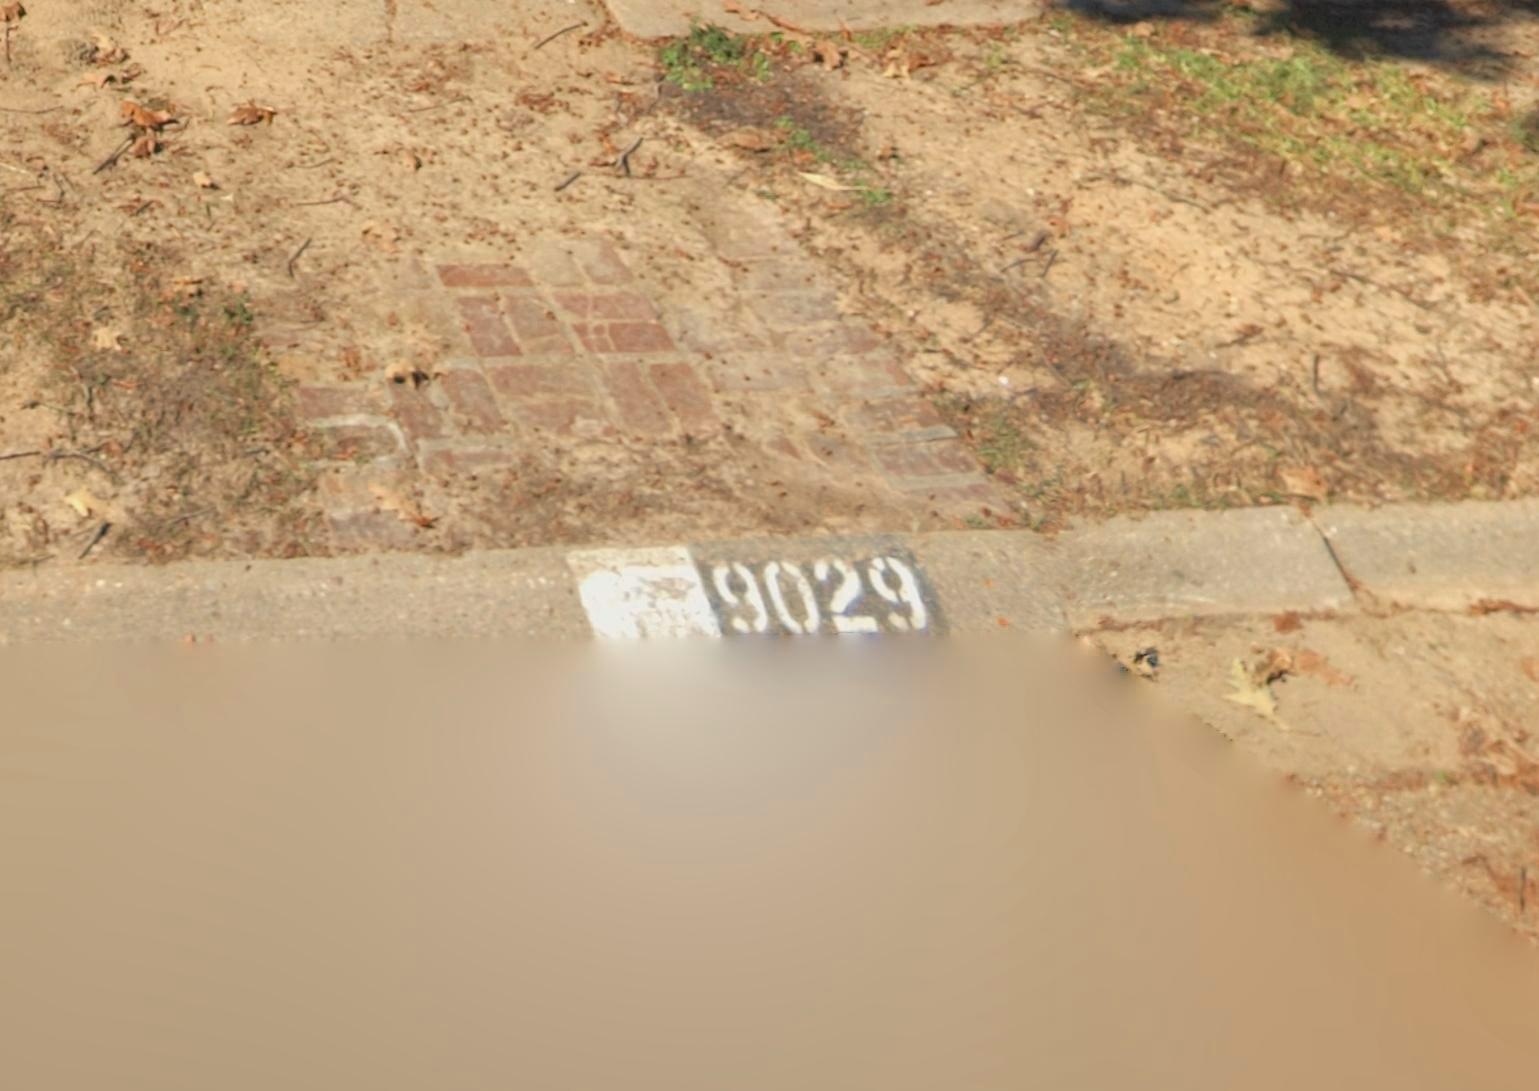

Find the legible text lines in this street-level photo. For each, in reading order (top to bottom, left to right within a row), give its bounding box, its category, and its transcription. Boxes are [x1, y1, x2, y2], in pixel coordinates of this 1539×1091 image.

[698, 553, 942, 638] StreetNumber: 9029